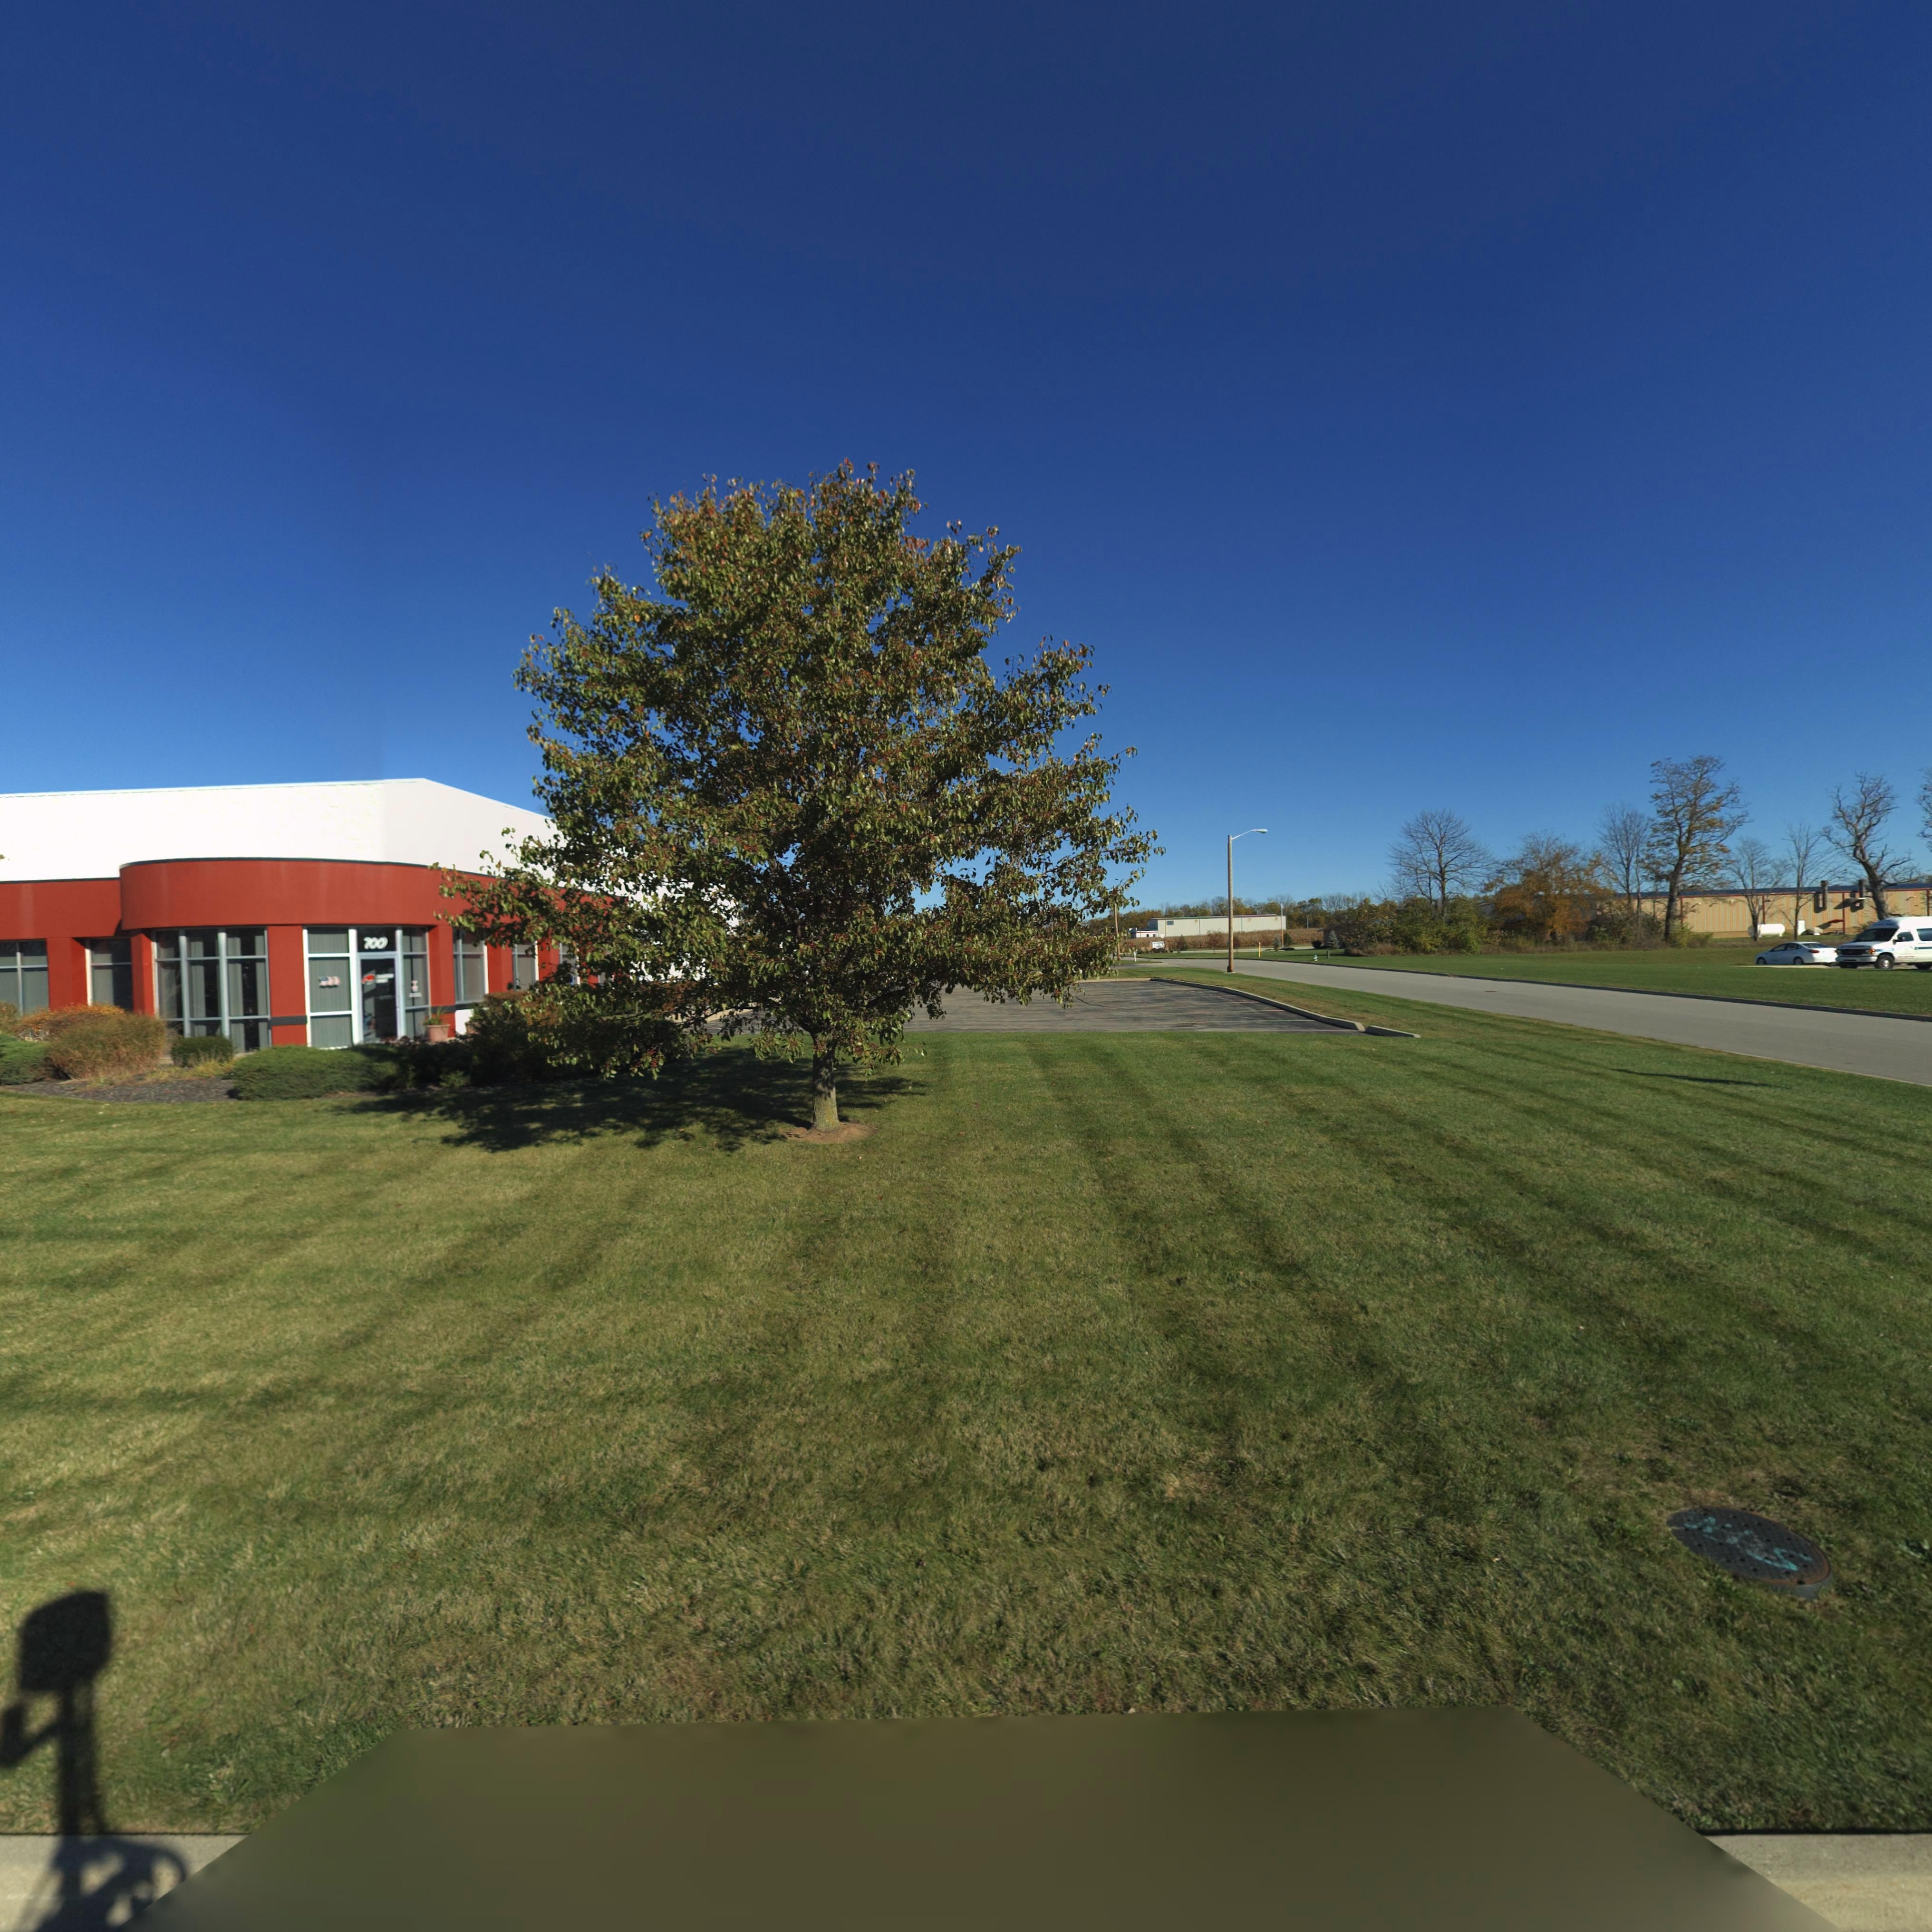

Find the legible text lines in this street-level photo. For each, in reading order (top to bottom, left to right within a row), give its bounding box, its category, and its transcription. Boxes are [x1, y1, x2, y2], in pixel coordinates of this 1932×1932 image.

[363, 936, 388, 950] StreetNumber: 700
[318, 976, 341, 987] StreetNumber: 700